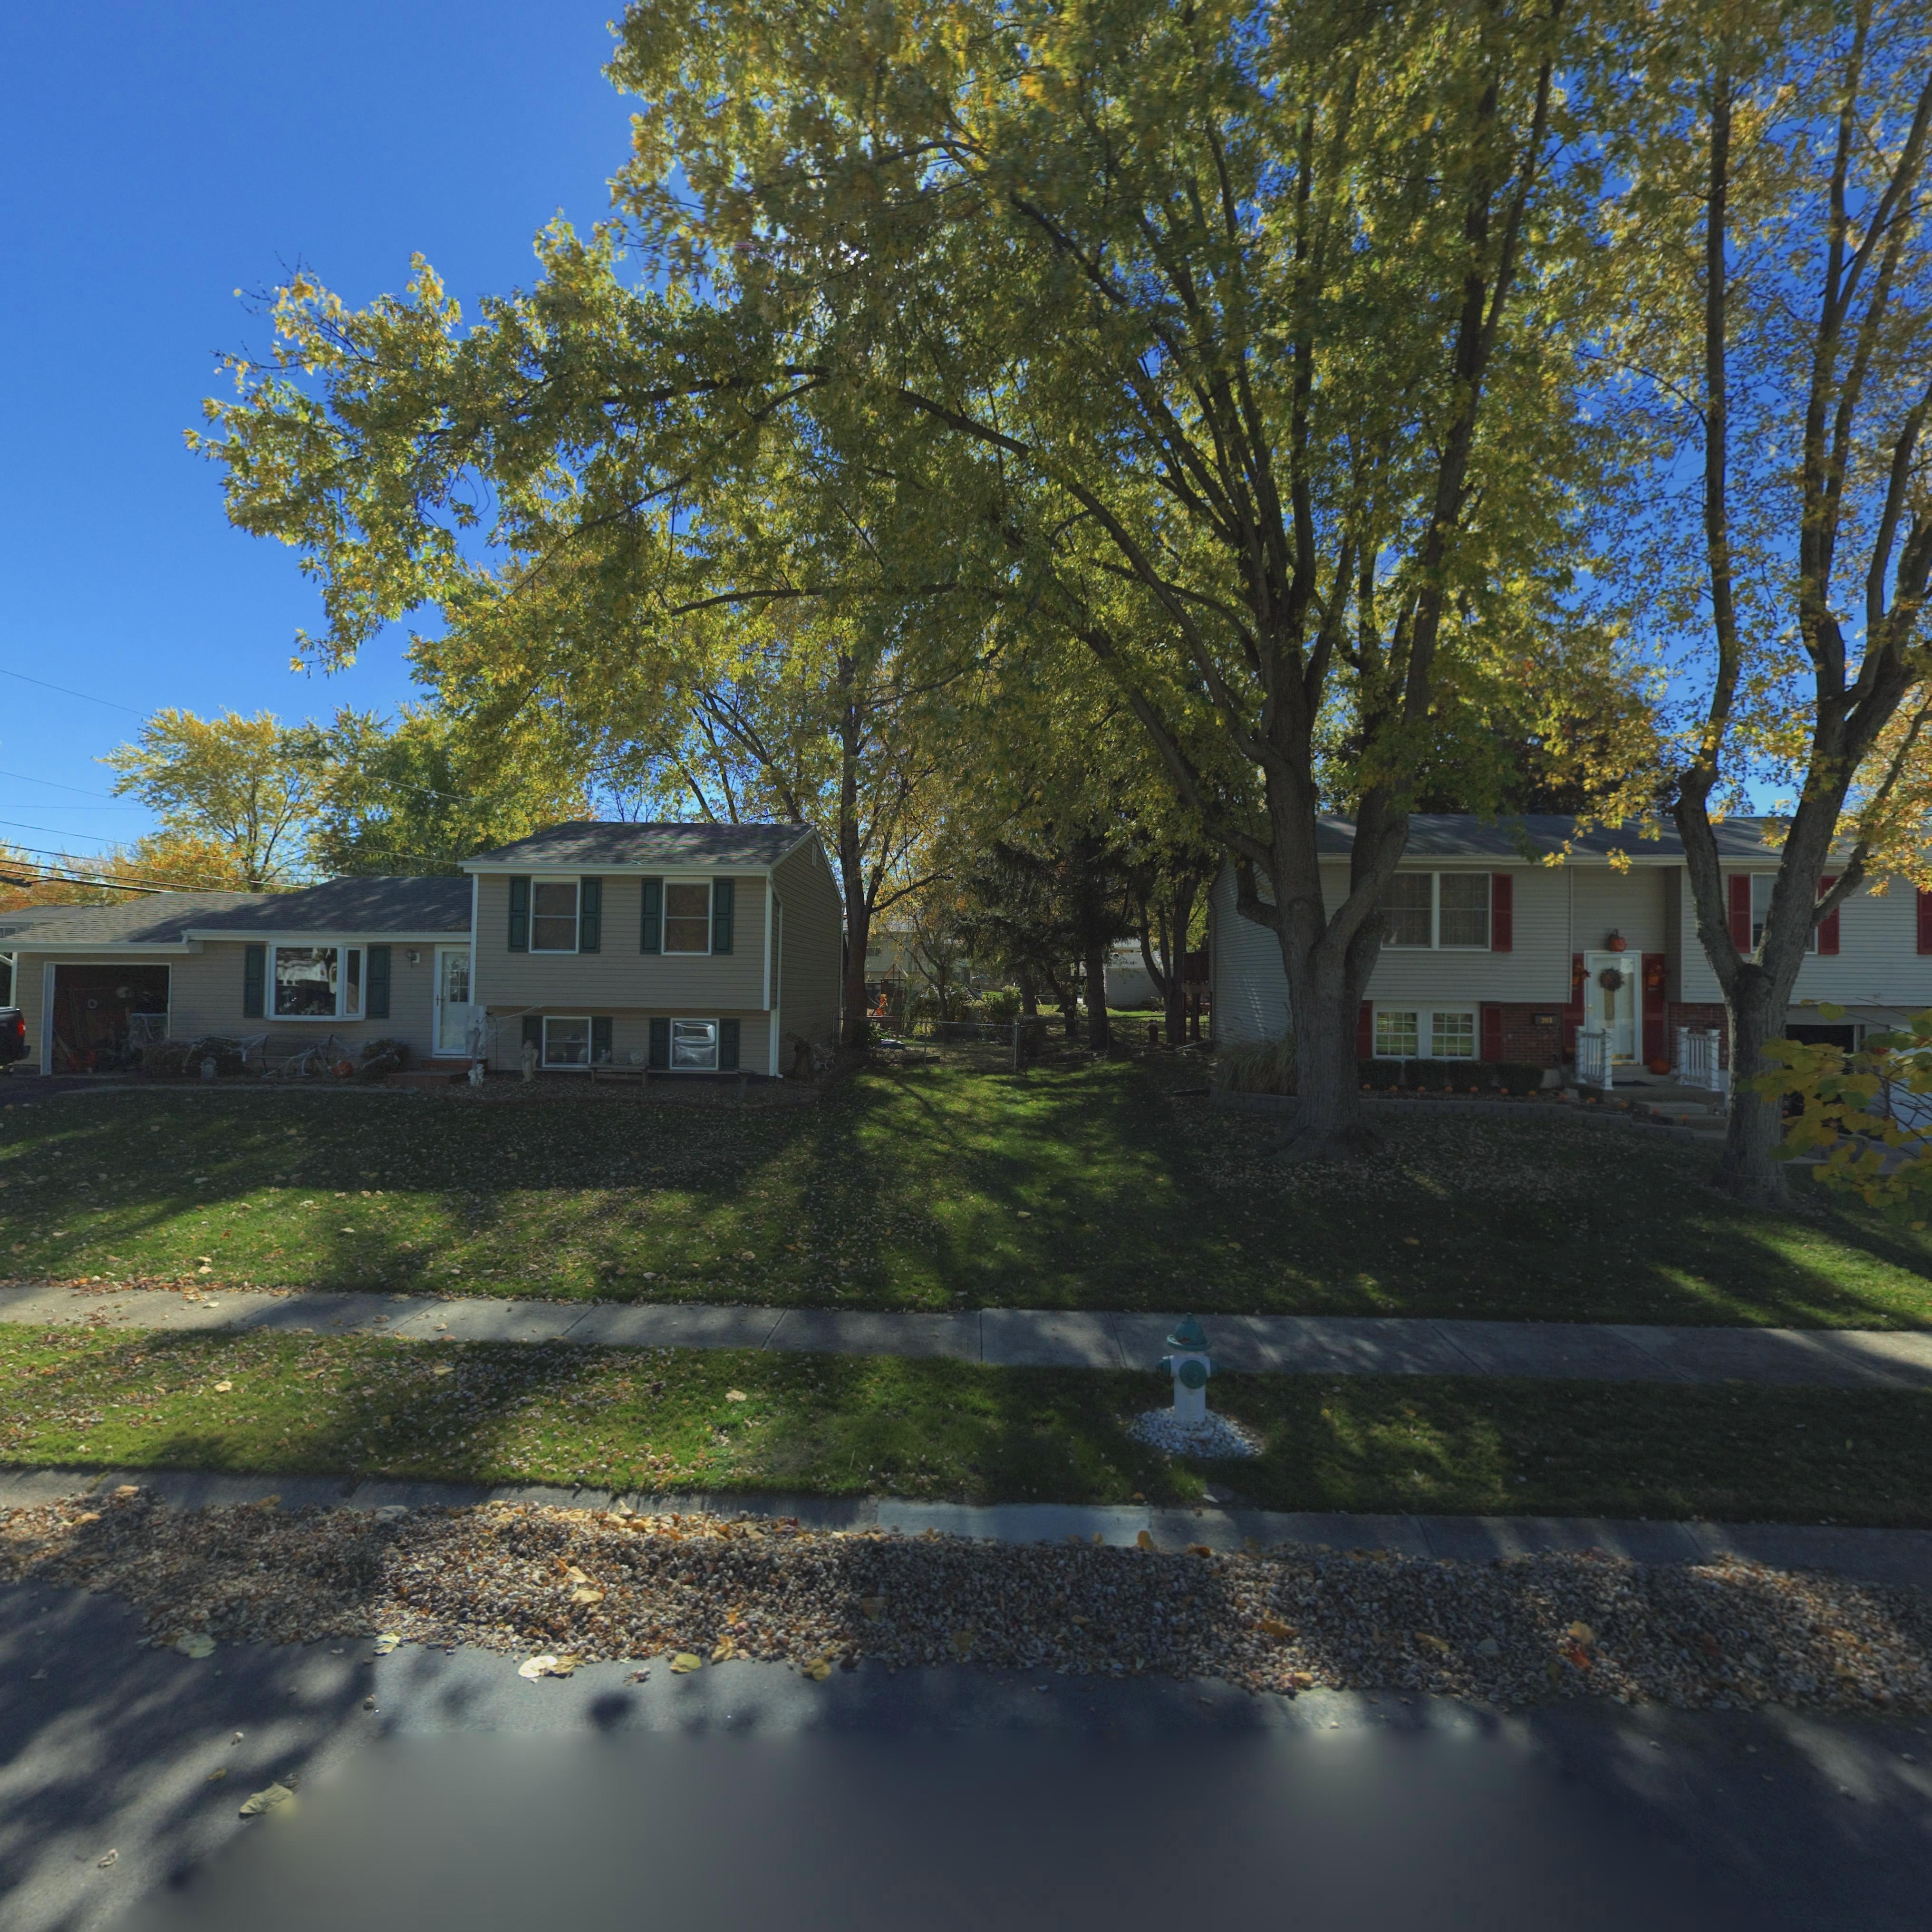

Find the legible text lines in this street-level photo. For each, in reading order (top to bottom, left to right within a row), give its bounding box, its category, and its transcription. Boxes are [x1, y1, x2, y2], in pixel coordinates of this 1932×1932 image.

[1540, 1016, 1553, 1024] StreetNumber: 203